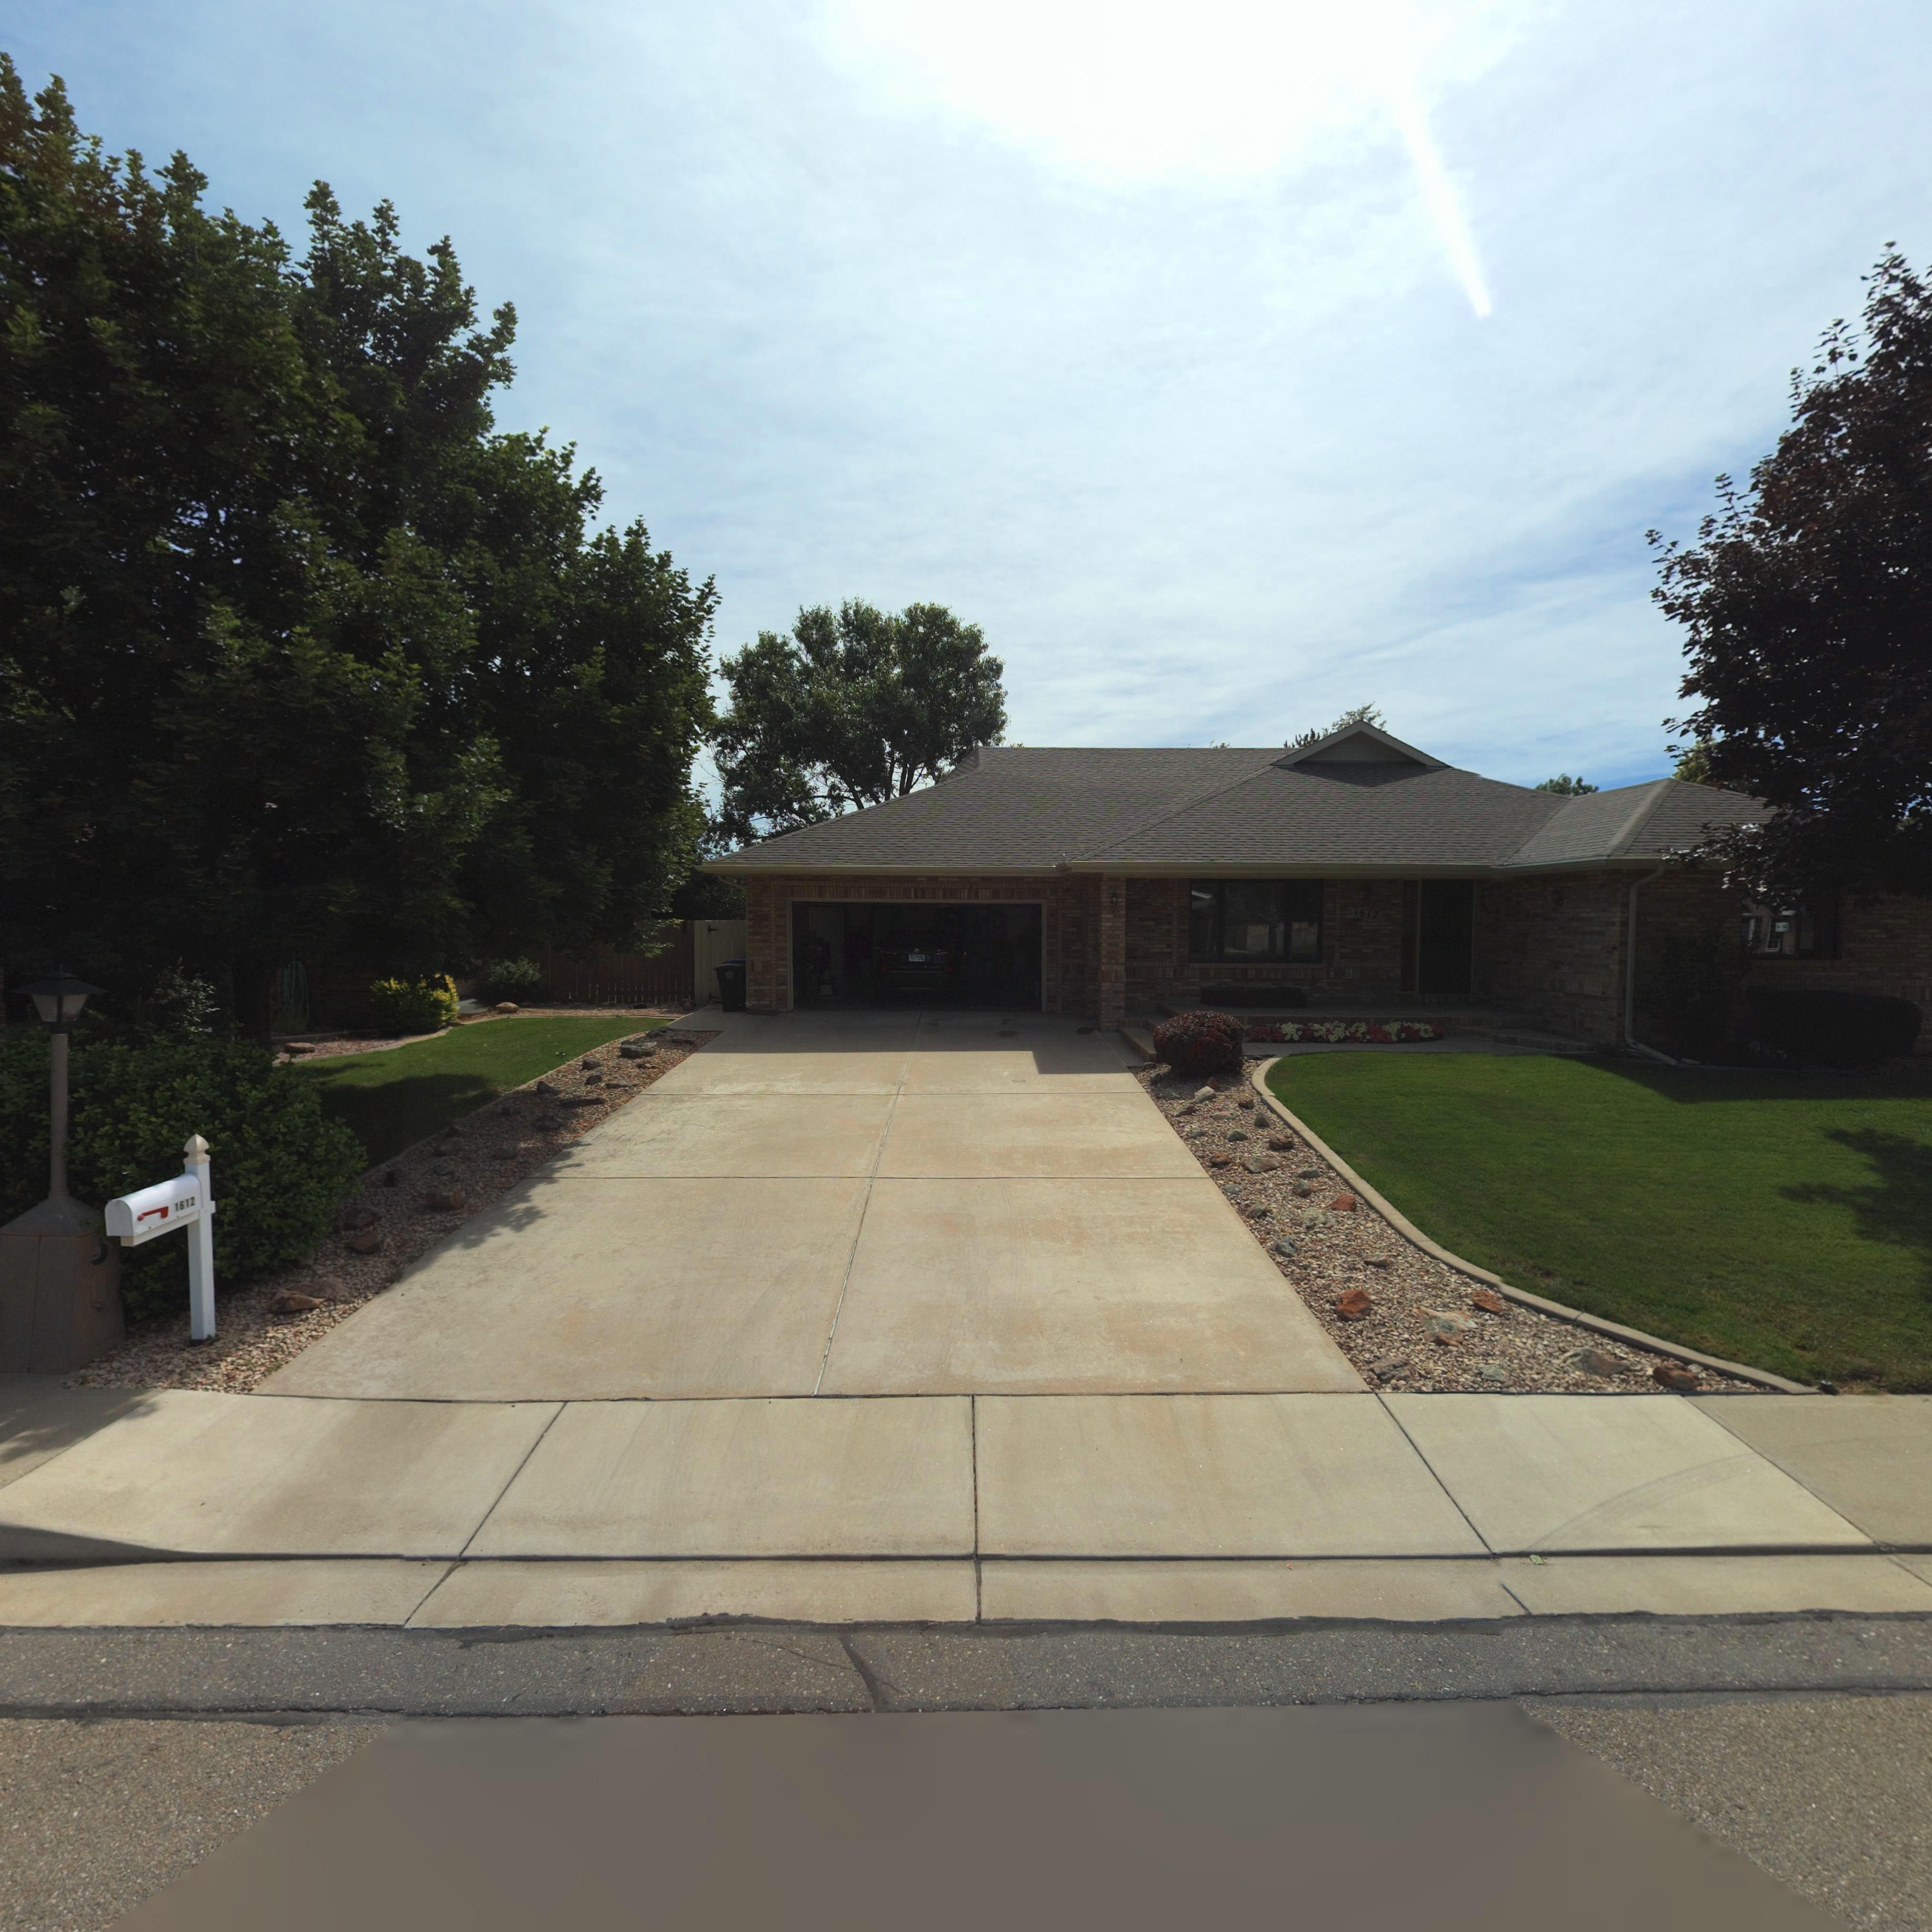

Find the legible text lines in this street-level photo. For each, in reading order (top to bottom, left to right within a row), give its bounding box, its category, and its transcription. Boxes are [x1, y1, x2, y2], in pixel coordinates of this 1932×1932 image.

[1352, 907, 1379, 919] StreetNumber: 1612
[174, 1196, 195, 1212] StreetNumber: 1612